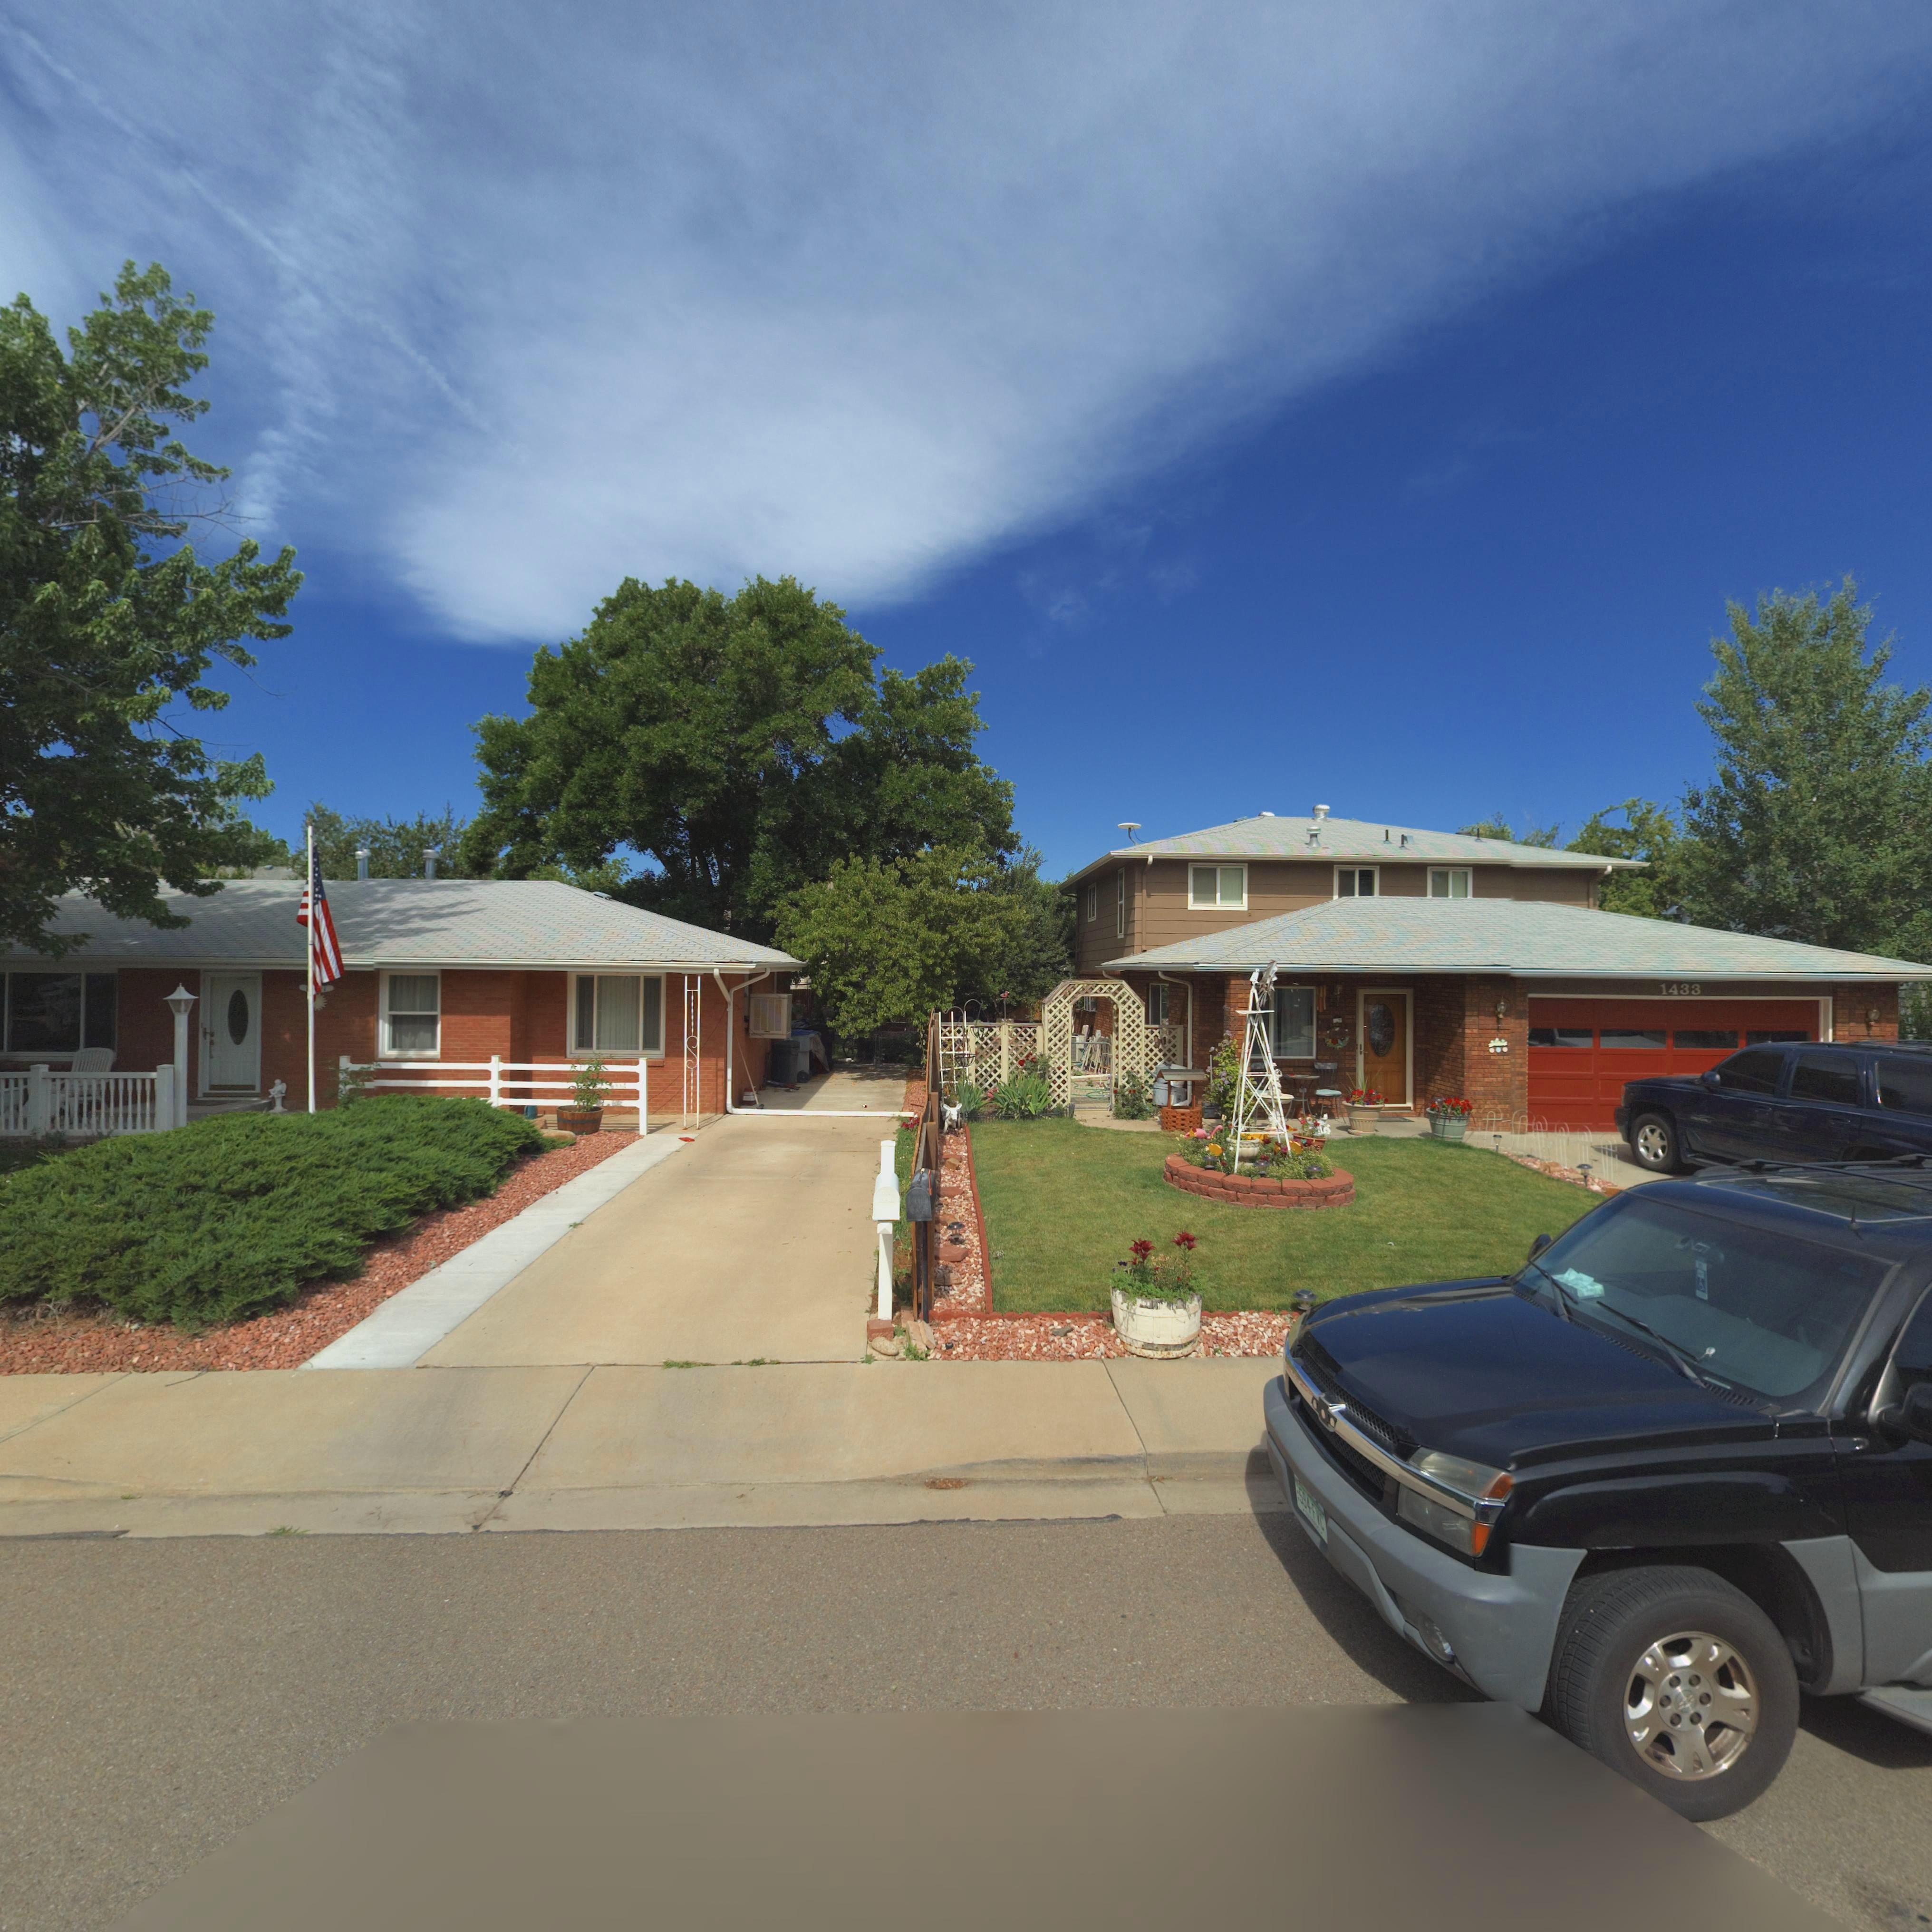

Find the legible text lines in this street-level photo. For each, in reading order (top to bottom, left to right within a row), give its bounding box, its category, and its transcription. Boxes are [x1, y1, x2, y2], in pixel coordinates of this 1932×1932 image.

[323, 985, 327, 992] StreetNumber: 1
[1659, 982, 1702, 995] StreetNumber: 1433